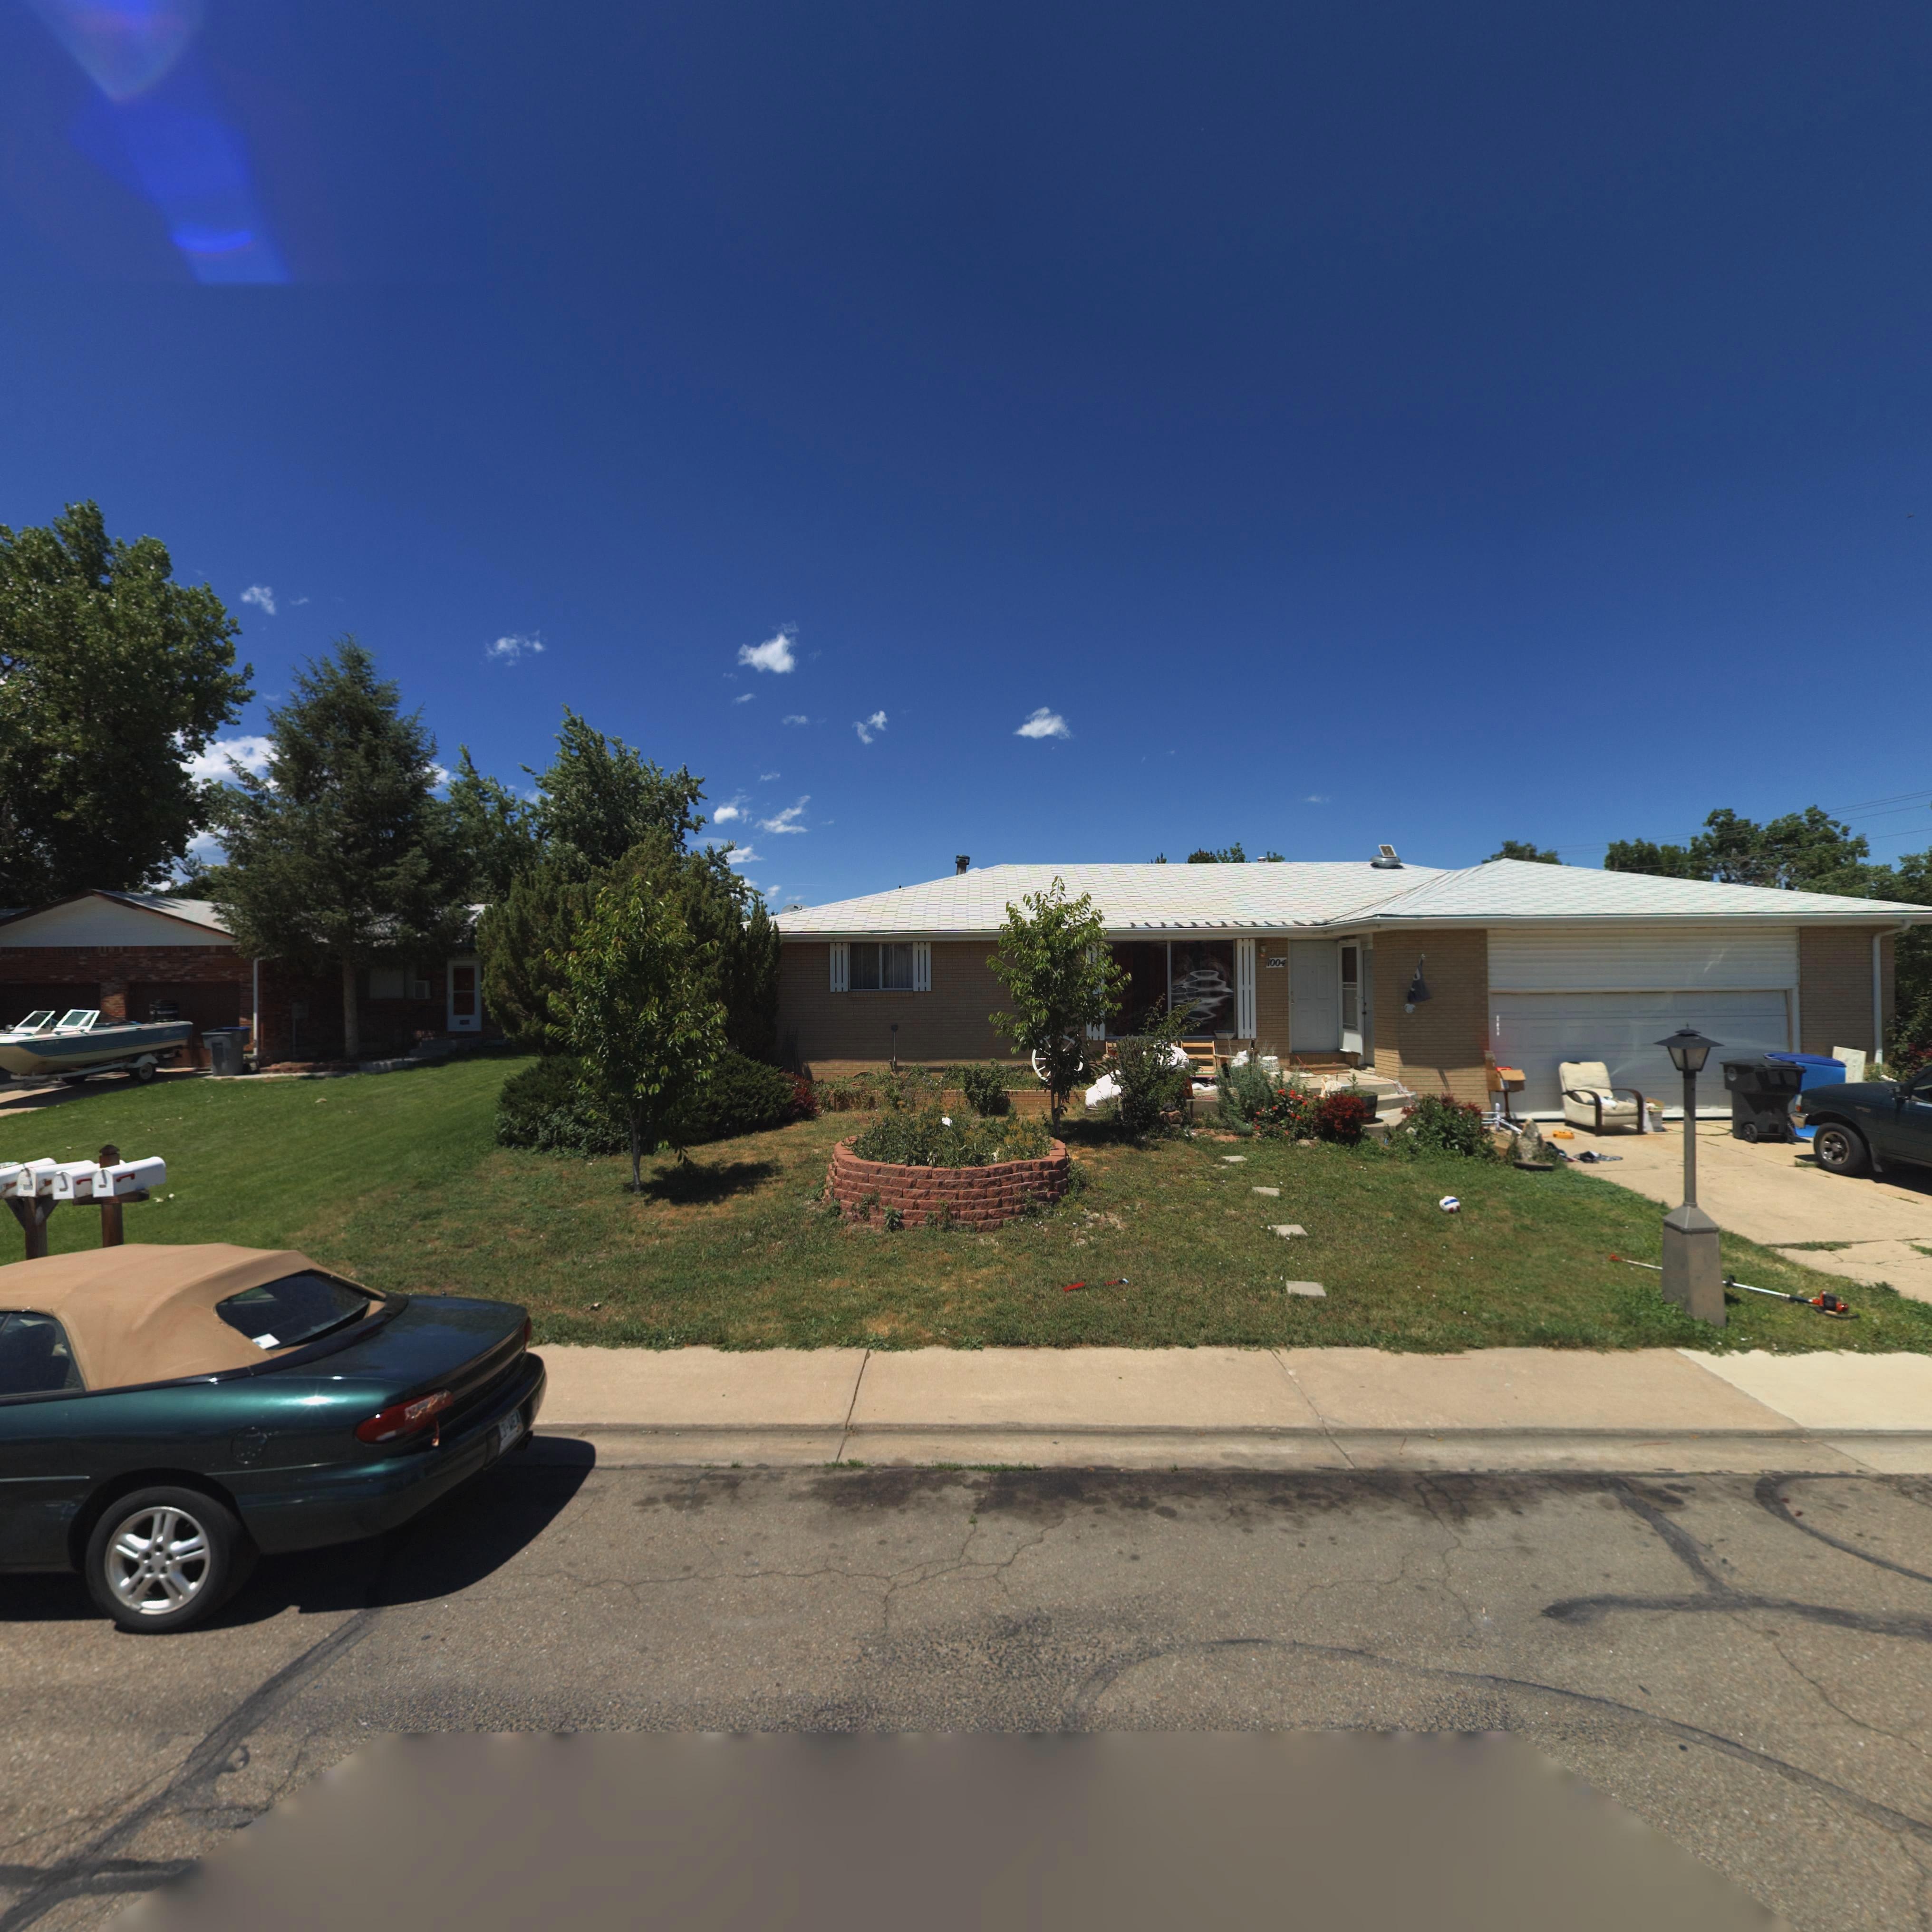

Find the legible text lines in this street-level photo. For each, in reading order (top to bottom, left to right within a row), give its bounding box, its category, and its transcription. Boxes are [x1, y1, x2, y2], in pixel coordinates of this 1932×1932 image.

[1267, 958, 1286, 966] StreetNumber: 1004